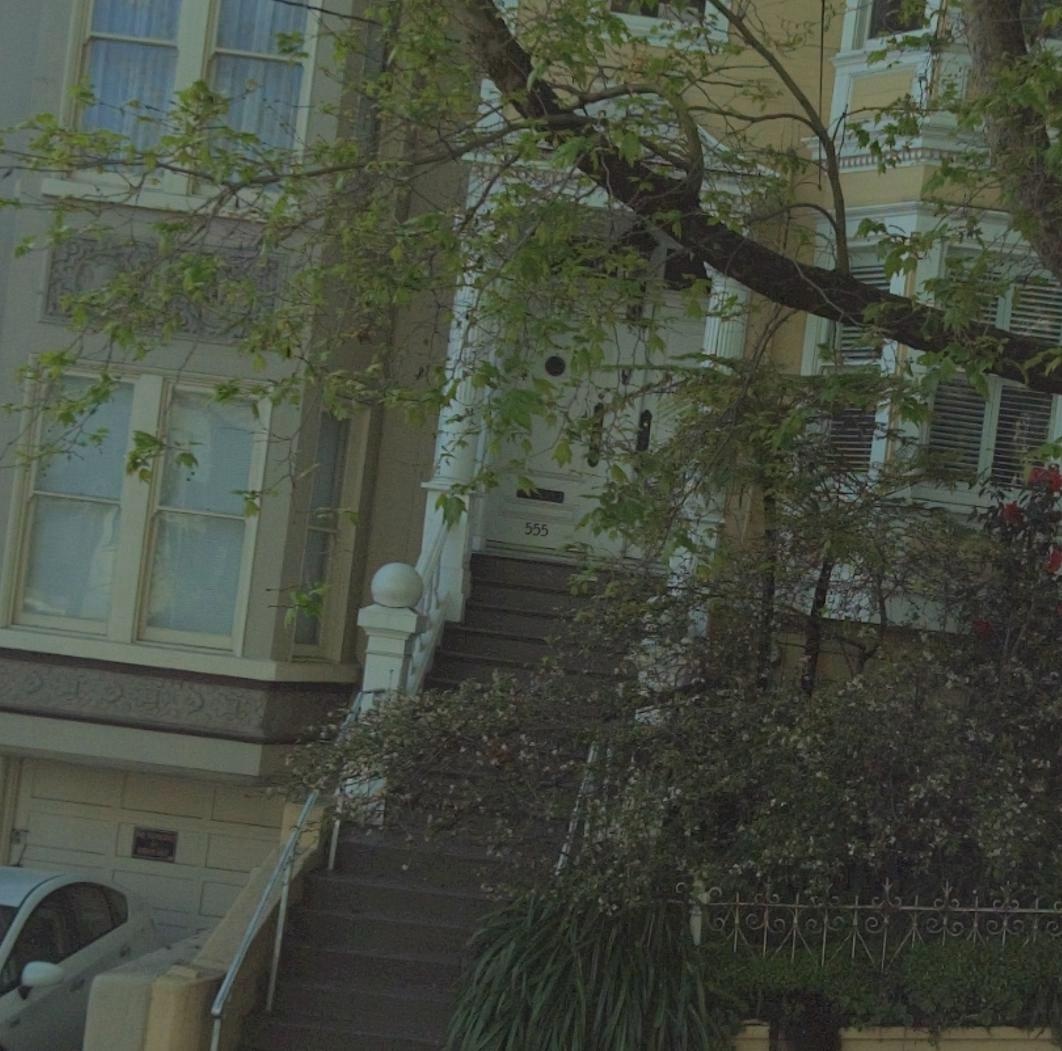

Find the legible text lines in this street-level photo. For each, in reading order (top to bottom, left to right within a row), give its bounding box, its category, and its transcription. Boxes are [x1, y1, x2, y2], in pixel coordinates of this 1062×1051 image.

[522, 520, 551, 540] StreetNumber: 555